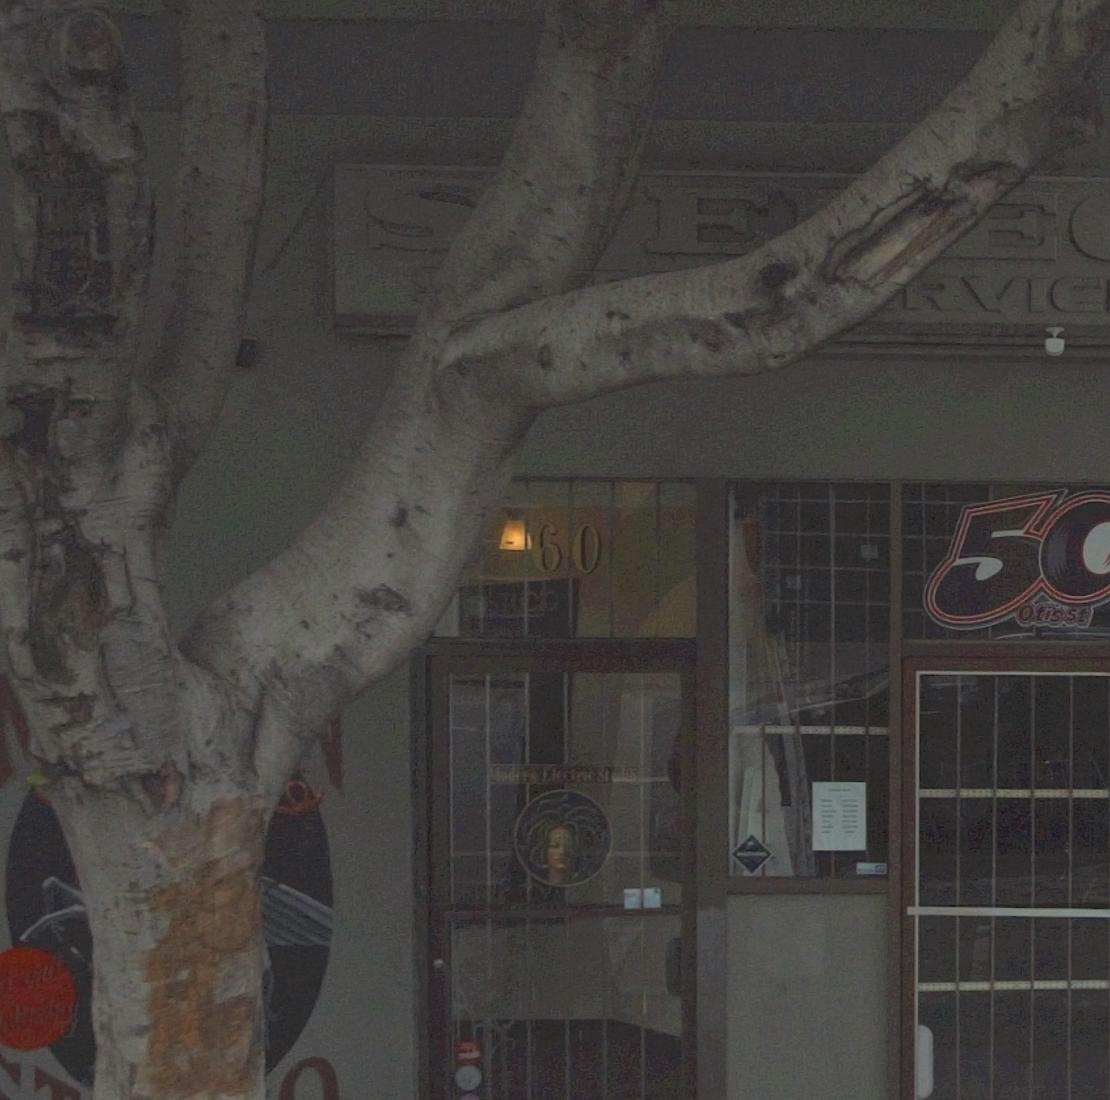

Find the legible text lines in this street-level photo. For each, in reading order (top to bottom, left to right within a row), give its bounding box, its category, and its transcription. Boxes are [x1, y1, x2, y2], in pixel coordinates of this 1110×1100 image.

[638, 178, 771, 261] None: E
[898, 270, 1108, 319] None: RVIC
[534, 520, 603, 576] StreetNumber: 60
[914, 487, 1068, 633] None: 5
[1012, 598, 1097, 630] StreetName: Otis st